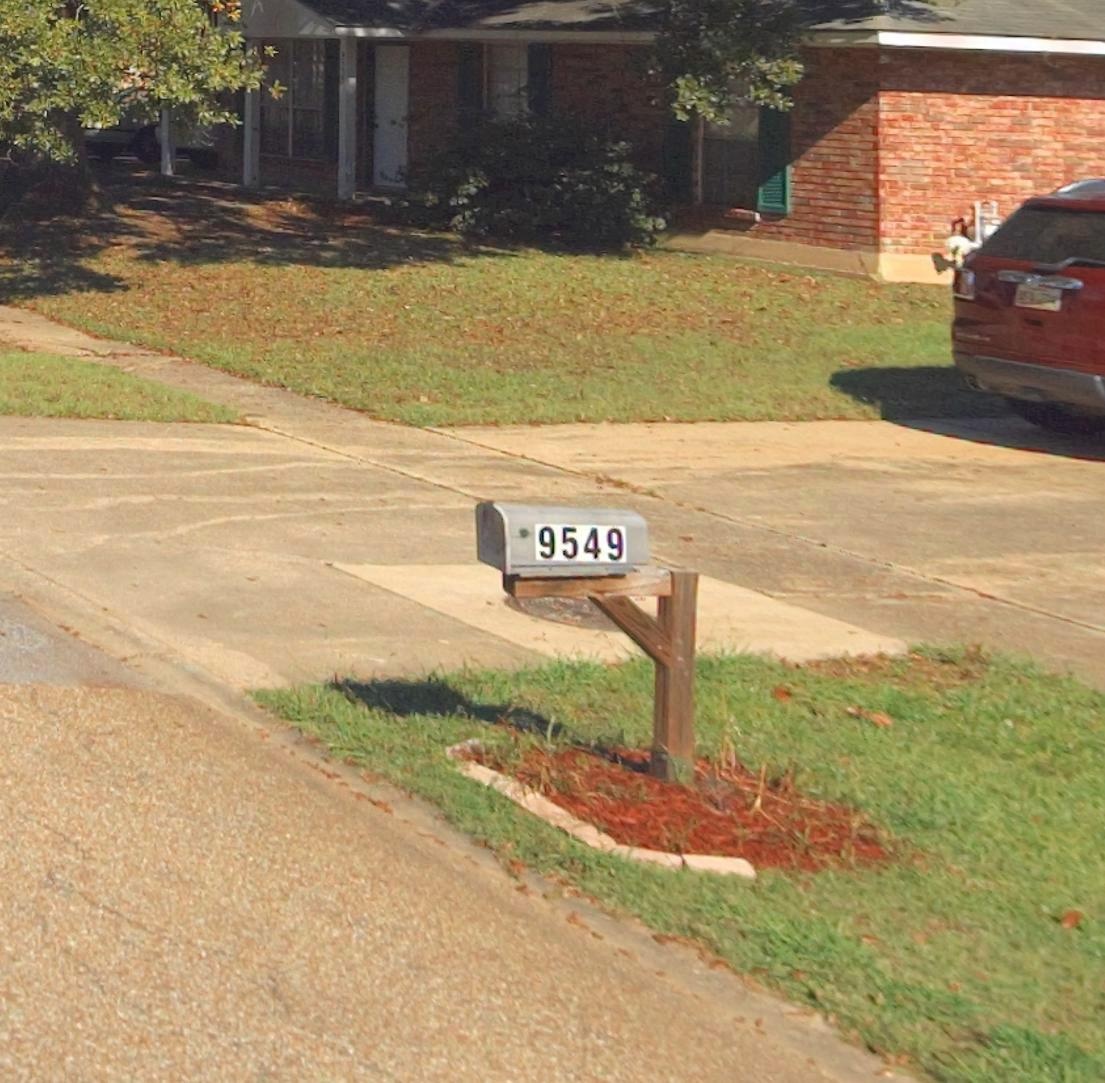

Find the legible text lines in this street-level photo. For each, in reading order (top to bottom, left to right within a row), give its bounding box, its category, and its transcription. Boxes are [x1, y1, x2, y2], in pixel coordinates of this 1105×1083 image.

[537, 525, 624, 562] StreetNumber: 9549